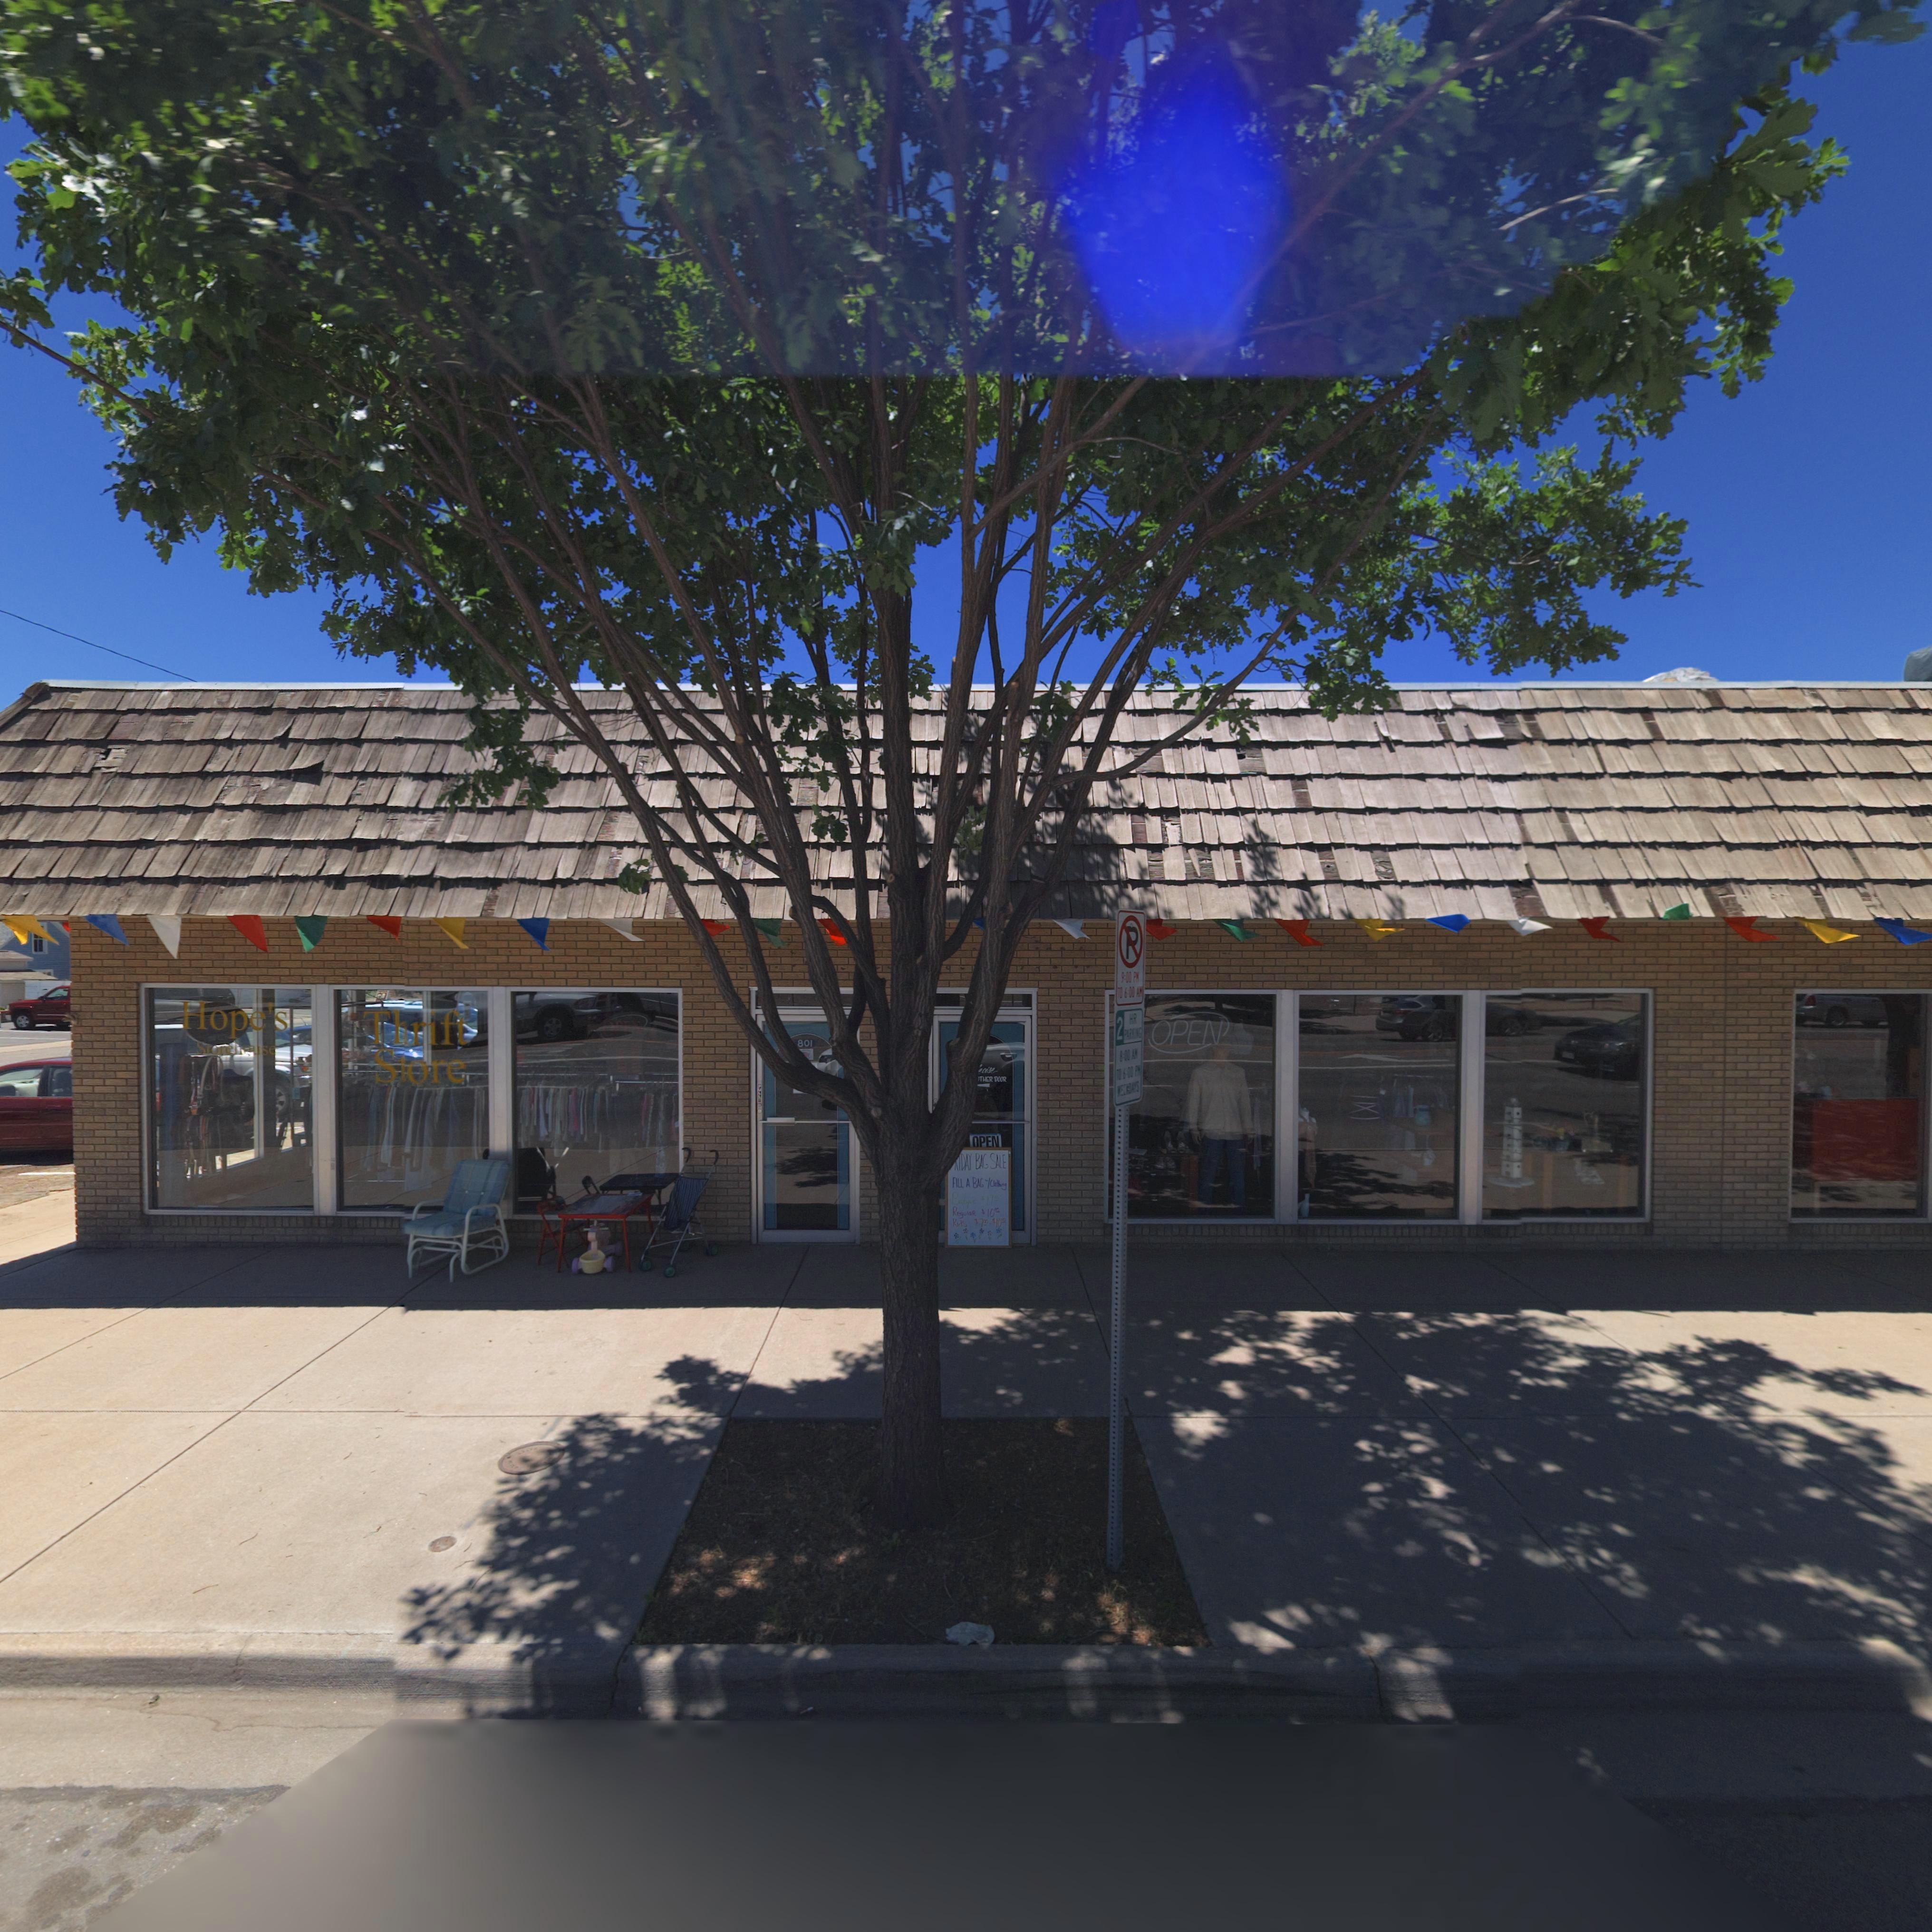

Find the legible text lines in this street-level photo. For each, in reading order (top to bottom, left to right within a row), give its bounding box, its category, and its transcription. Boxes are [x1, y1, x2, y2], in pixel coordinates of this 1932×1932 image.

[180, 1000, 288, 1040] BusinessName: Hope's
[196, 1040, 276, 1055] BusinessName: Storehouse
[363, 1009, 469, 1046] BusinessName: Thrift
[797, 1039, 812, 1047] StreetNumber: 801